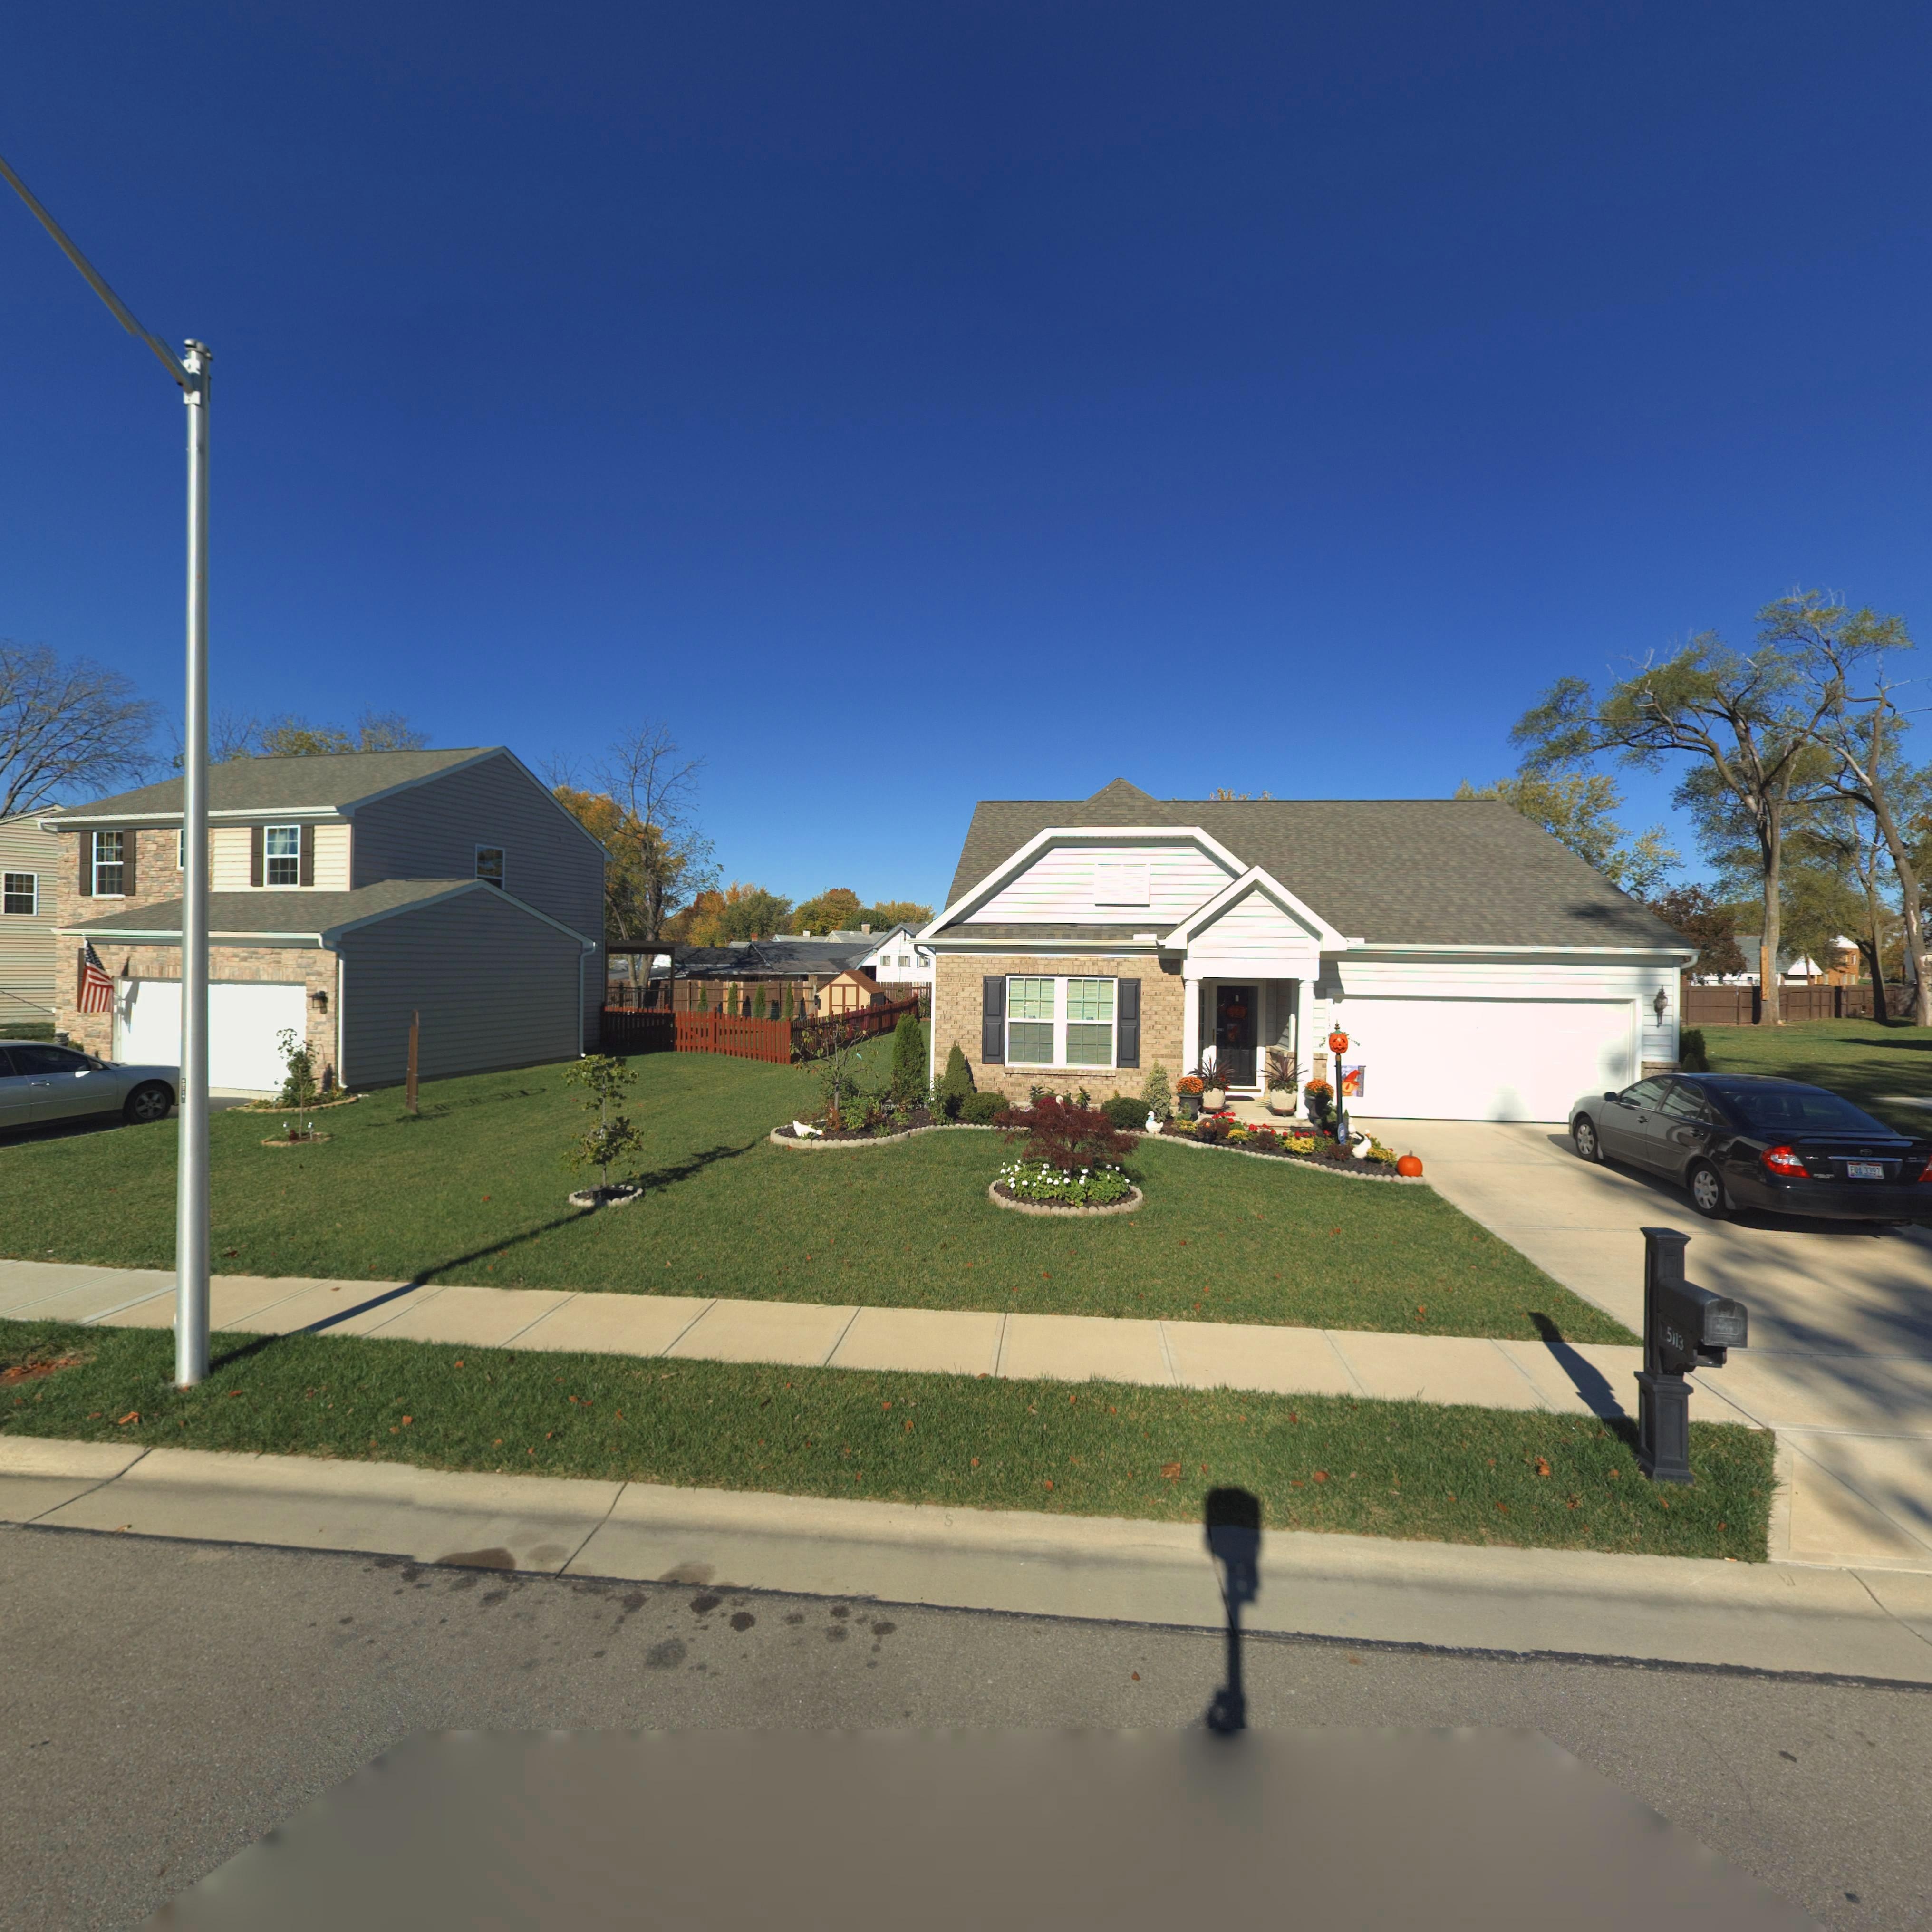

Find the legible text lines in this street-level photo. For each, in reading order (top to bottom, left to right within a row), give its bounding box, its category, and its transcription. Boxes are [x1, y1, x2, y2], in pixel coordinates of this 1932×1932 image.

[1666, 1325, 1685, 1352] StreetNumber: 5113